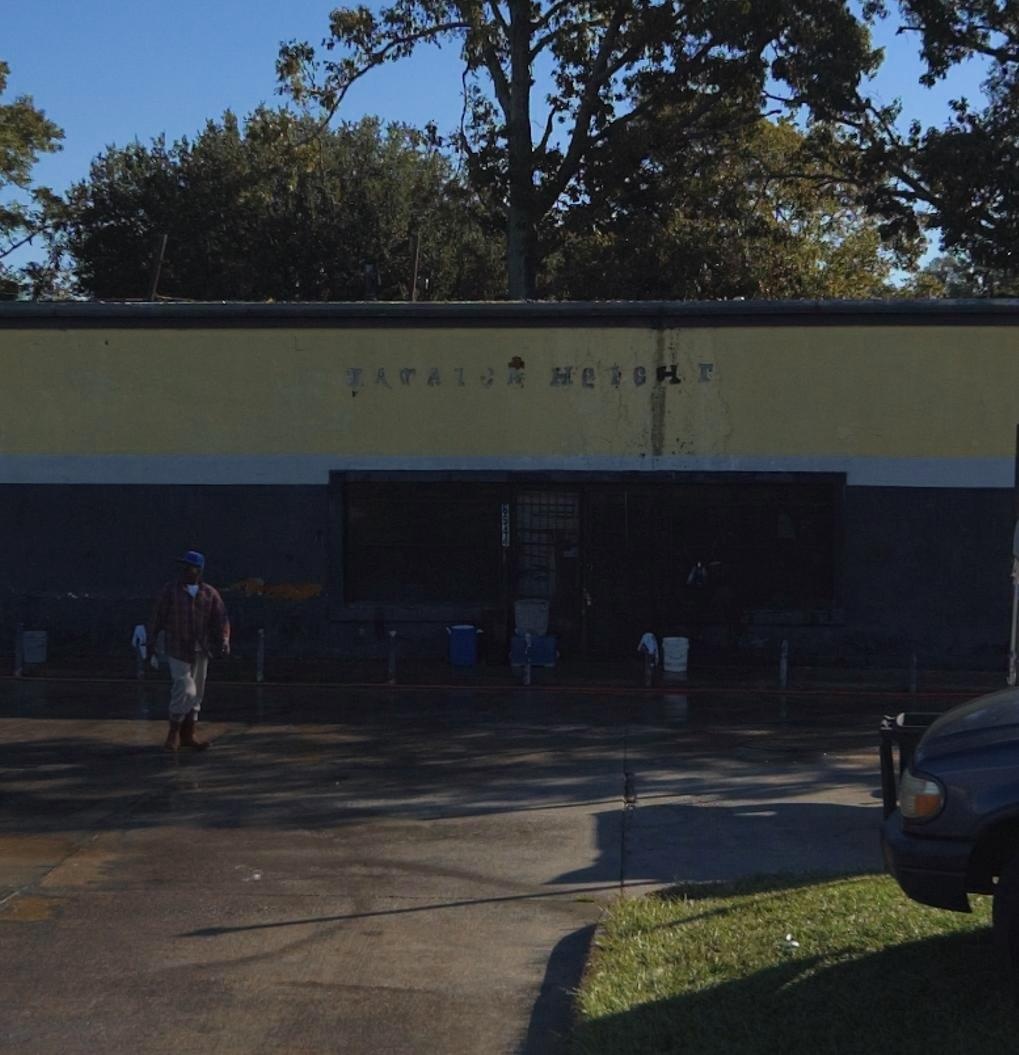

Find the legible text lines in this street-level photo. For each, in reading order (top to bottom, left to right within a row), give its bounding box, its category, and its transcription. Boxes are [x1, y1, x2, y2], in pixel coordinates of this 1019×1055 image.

[369, 362, 715, 389] BusinessName: A*A**A HeiGHT
[501, 502, 510, 548] StreetNumber: 6544